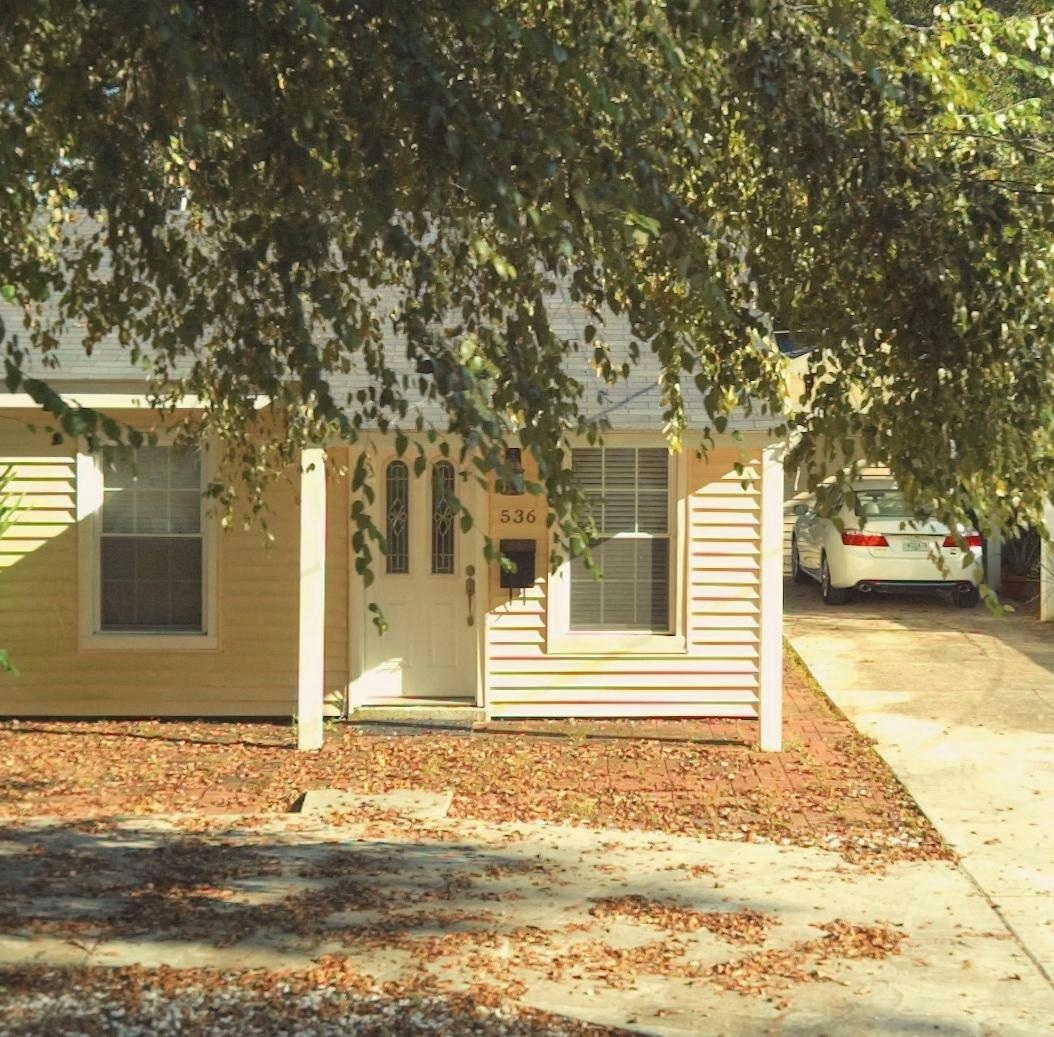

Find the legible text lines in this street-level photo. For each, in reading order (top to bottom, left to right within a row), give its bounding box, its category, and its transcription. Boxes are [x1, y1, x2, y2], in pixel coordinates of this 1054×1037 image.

[499, 508, 538, 526] StreetNumber: 536